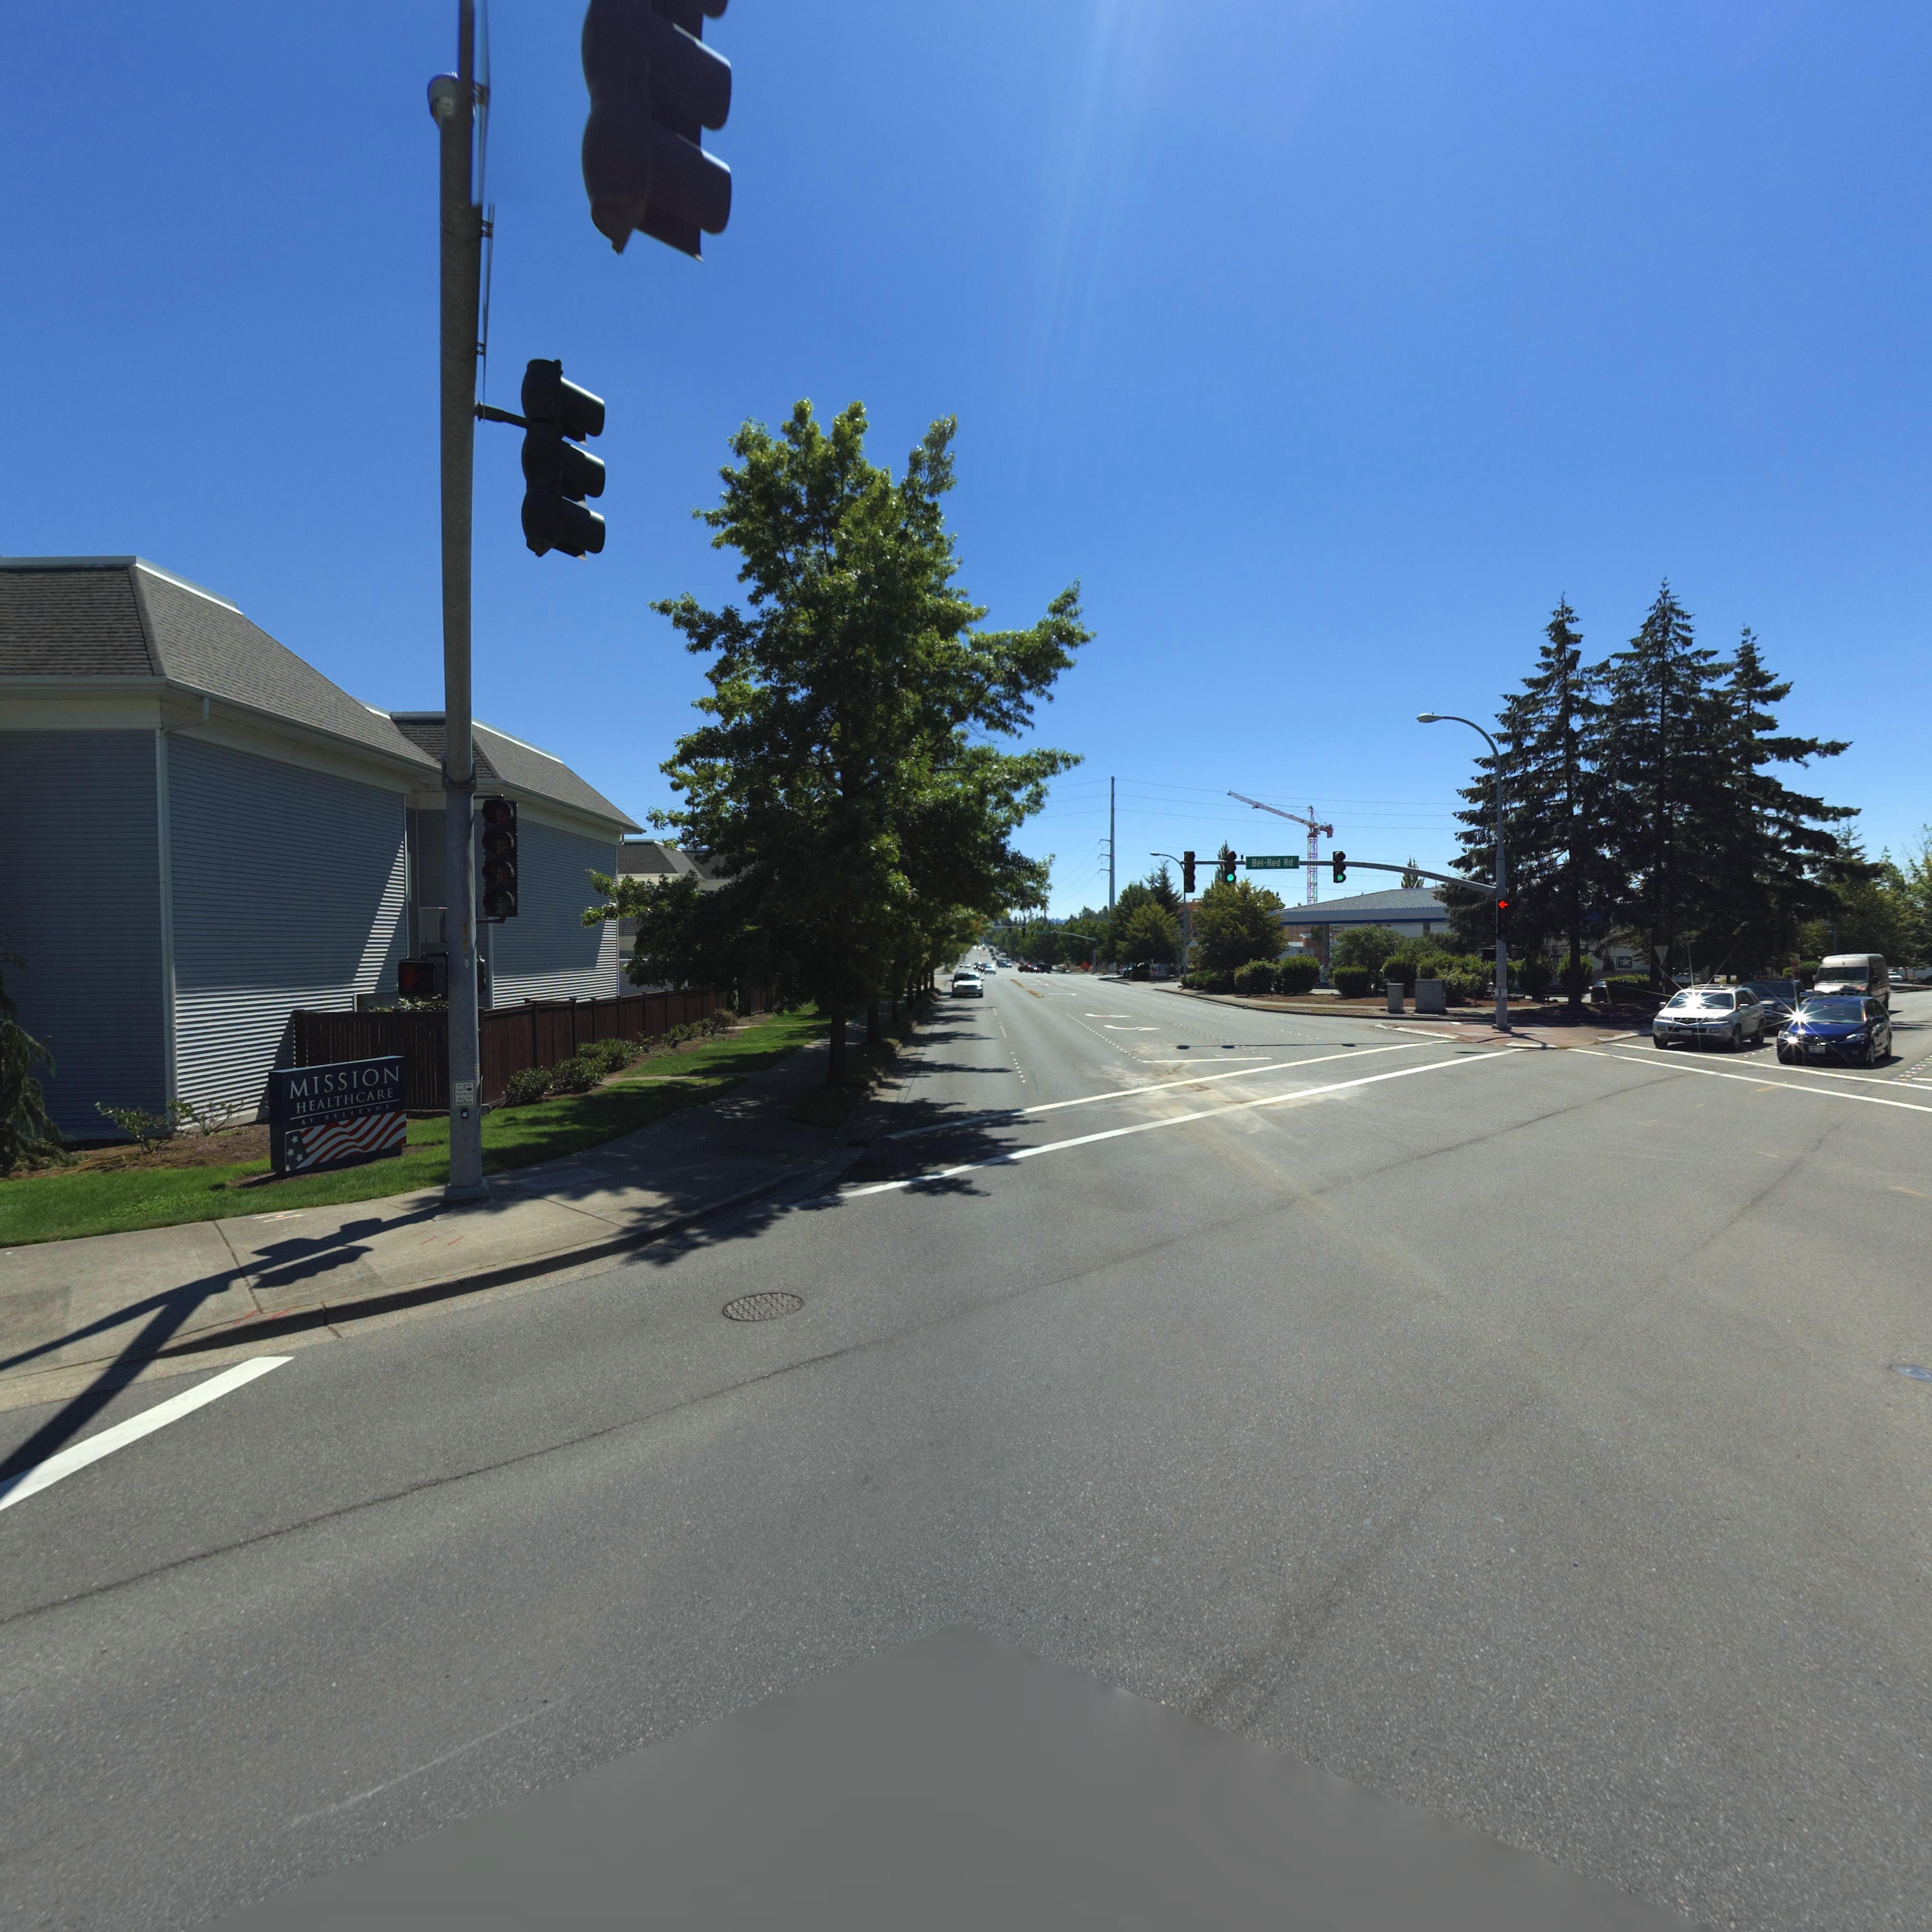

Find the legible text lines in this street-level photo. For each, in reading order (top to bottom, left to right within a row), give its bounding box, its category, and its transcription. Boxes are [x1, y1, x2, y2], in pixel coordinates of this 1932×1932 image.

[1252, 858, 1293, 867] StreetName: Bel*Red Rd
[289, 1065, 399, 1099] BusinessName: MISSION
[296, 1088, 393, 1113] BusinessName: HEALTHCARE
[301, 1103, 389, 1125] BusinessName: AT BELLEVUE